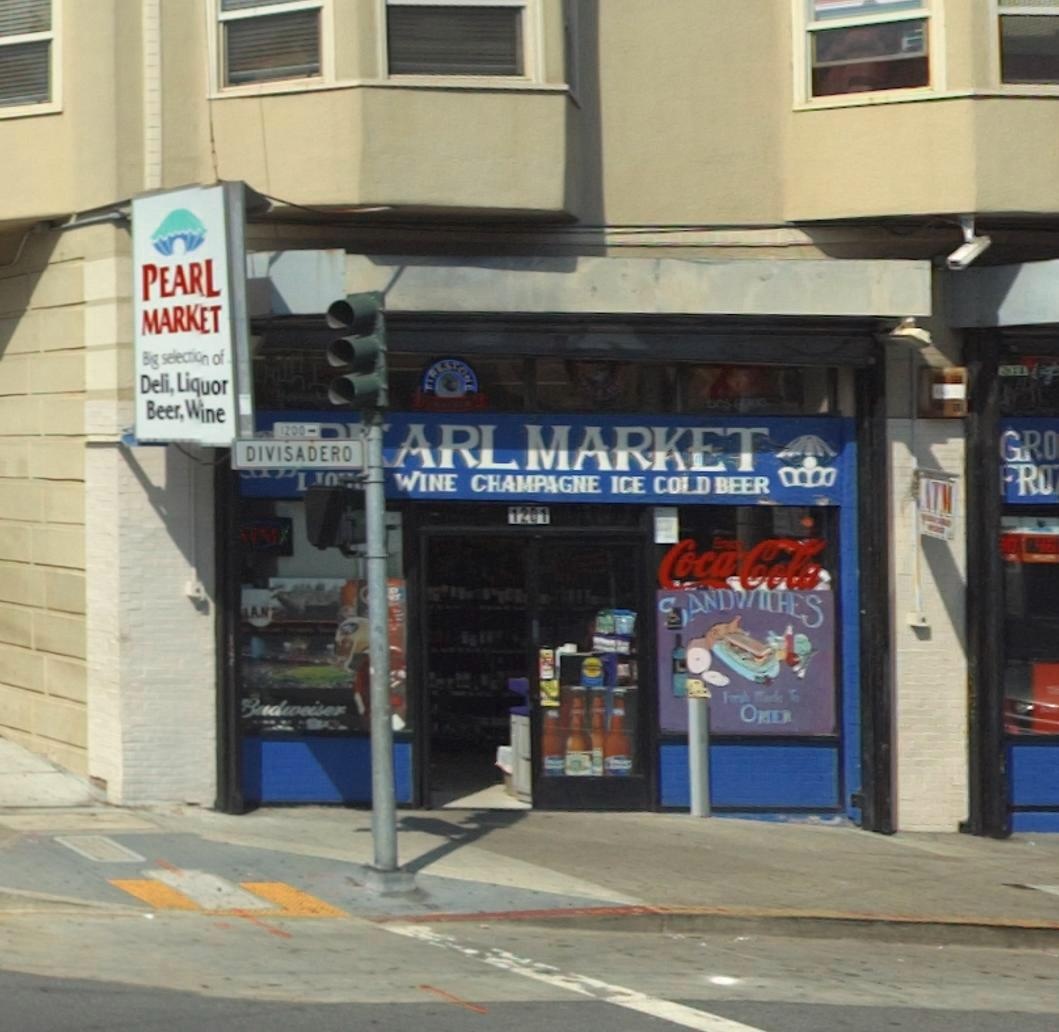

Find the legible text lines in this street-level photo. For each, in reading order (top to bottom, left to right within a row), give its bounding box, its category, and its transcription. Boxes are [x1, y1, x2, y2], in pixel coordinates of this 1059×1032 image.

[140, 257, 225, 305] BusinessName: PEARL
[139, 298, 227, 338] BusinessName: MARKET
[277, 424, 319, 439] None: 1200->
[244, 443, 357, 465] StreetName: DIVISADERO
[391, 420, 777, 475] BusinessName: ARL MARKET
[509, 505, 549, 524] None: 1201